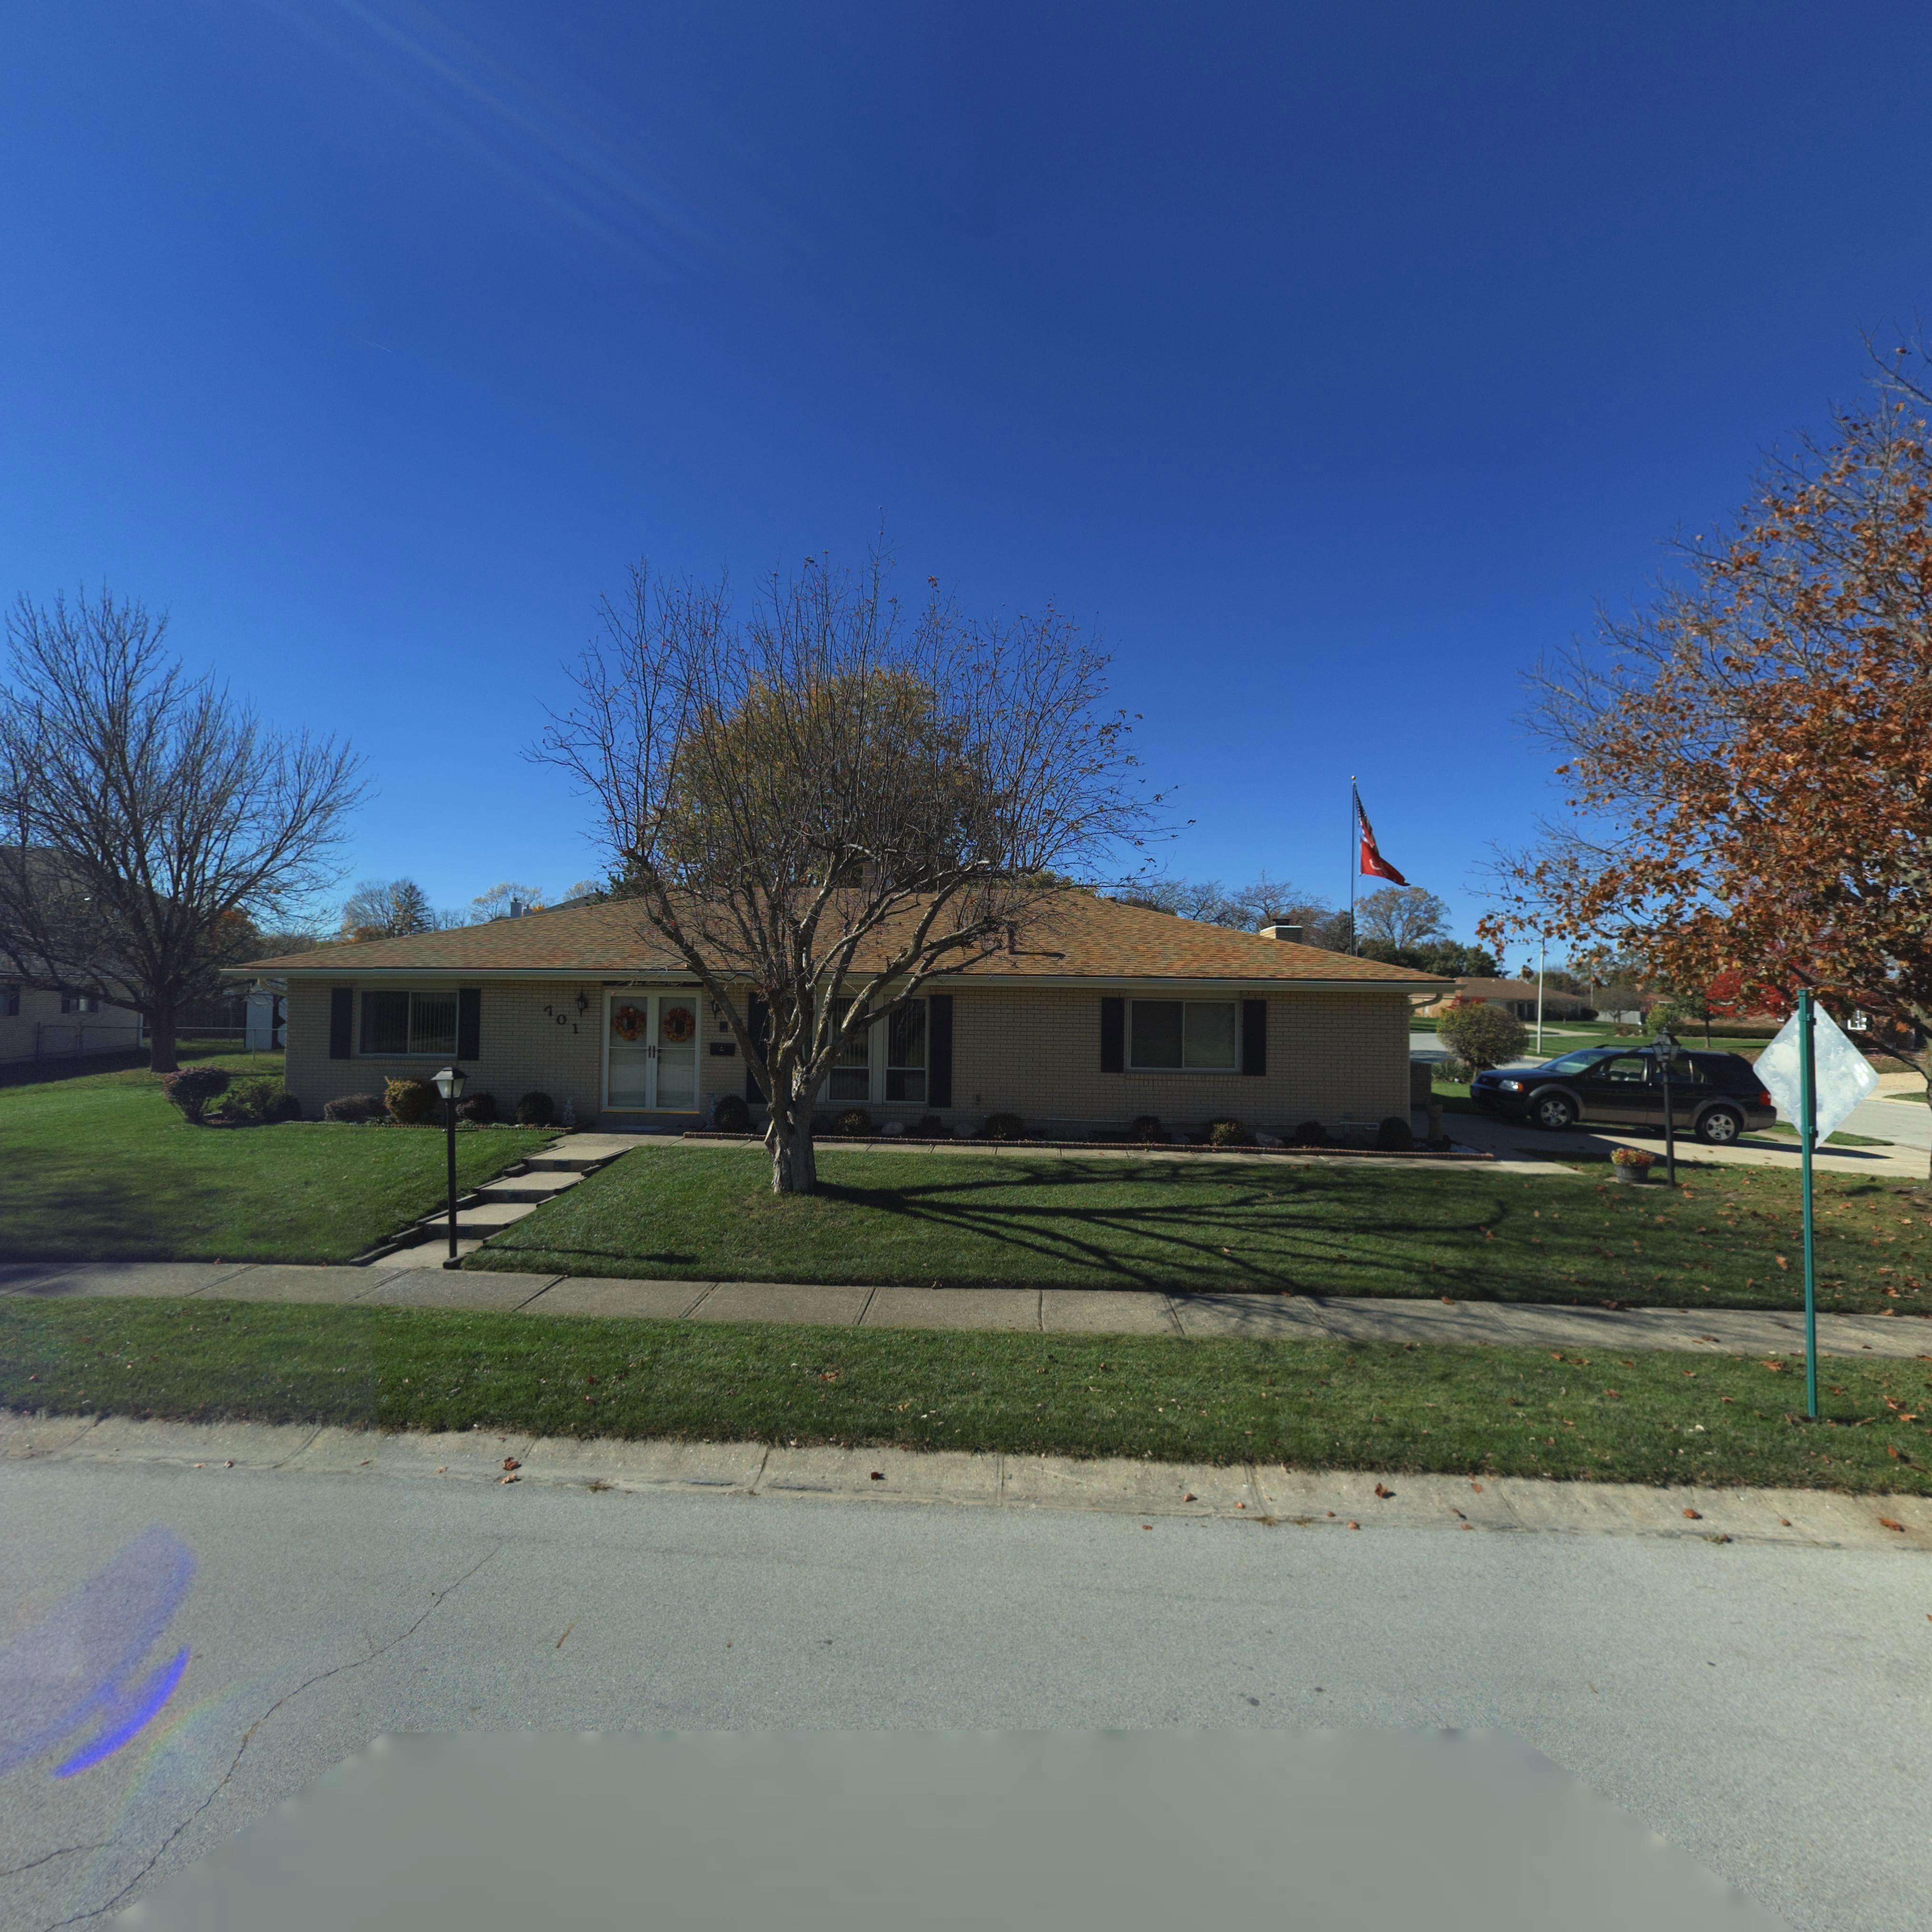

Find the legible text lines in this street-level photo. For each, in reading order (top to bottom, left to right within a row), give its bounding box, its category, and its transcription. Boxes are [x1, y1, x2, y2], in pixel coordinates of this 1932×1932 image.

[643, 981, 673, 986] StreetNumber: Hundred O
[542, 1004, 579, 1034] StreetNumber: 701